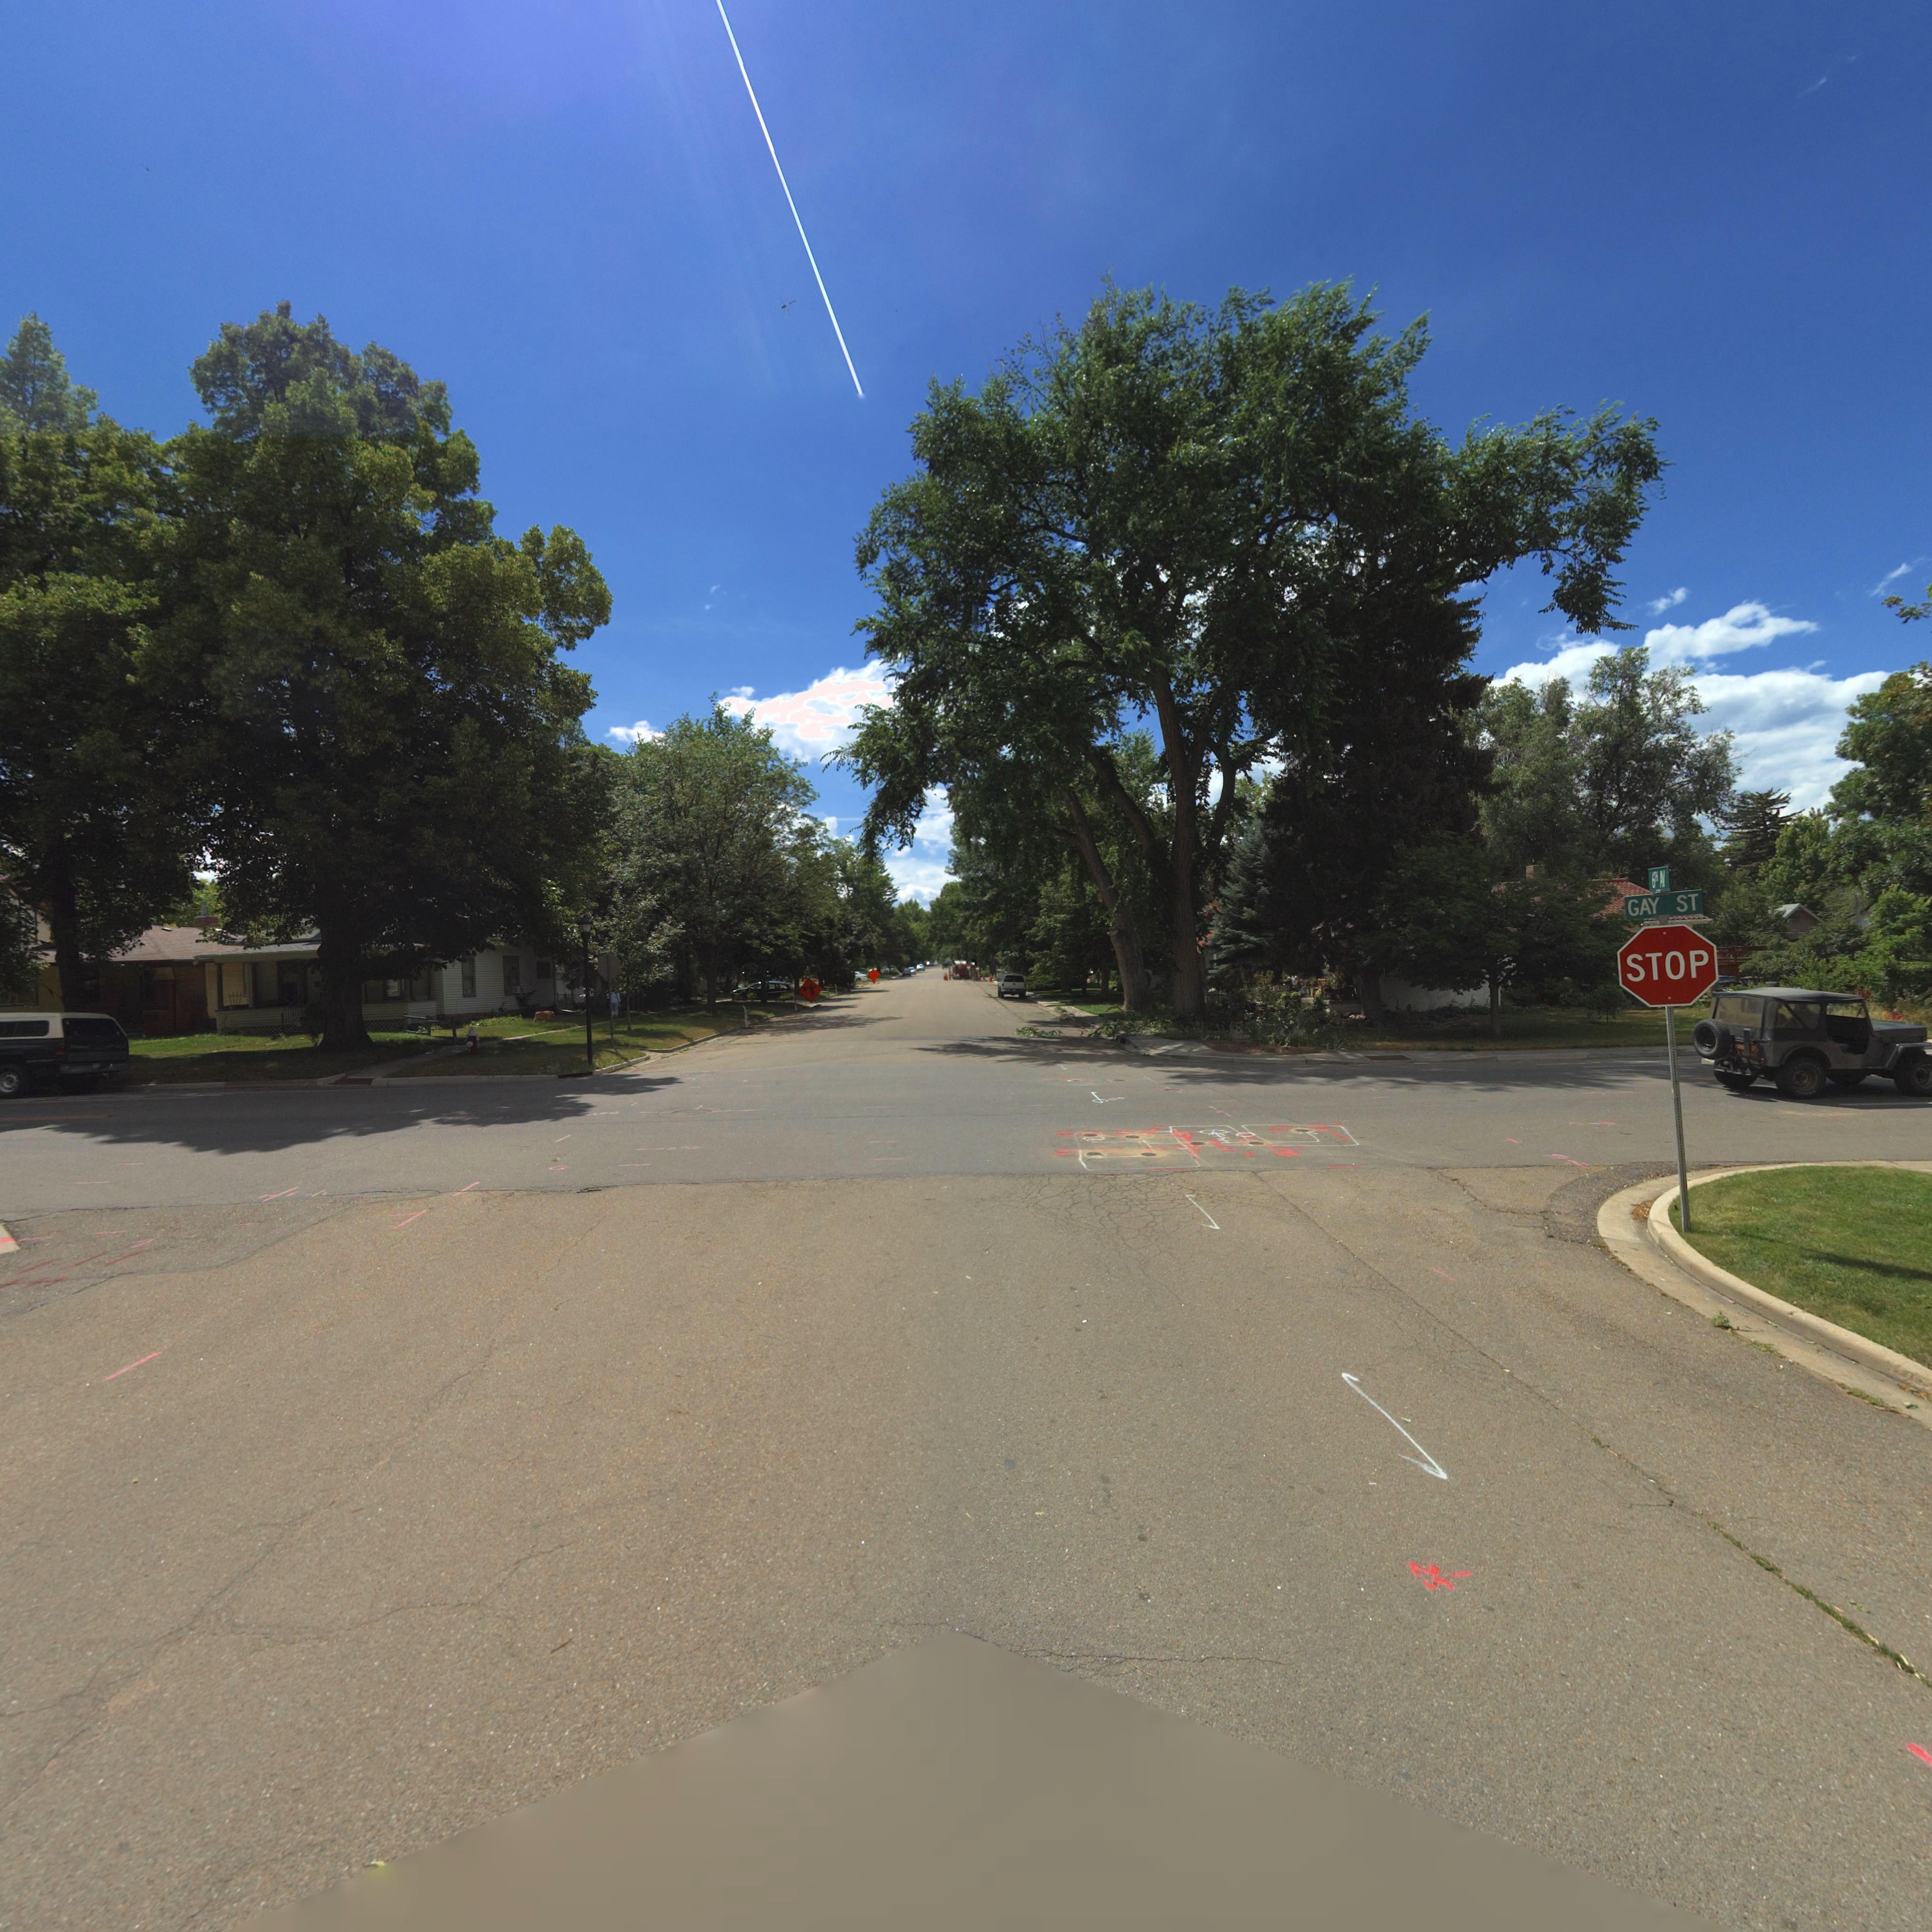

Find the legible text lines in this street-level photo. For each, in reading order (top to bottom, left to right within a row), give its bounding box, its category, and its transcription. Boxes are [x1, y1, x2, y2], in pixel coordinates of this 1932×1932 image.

[1651, 869, 1665, 889] StreetName: 6TH AV
[1627, 892, 1698, 916] StreetName: GAY ST